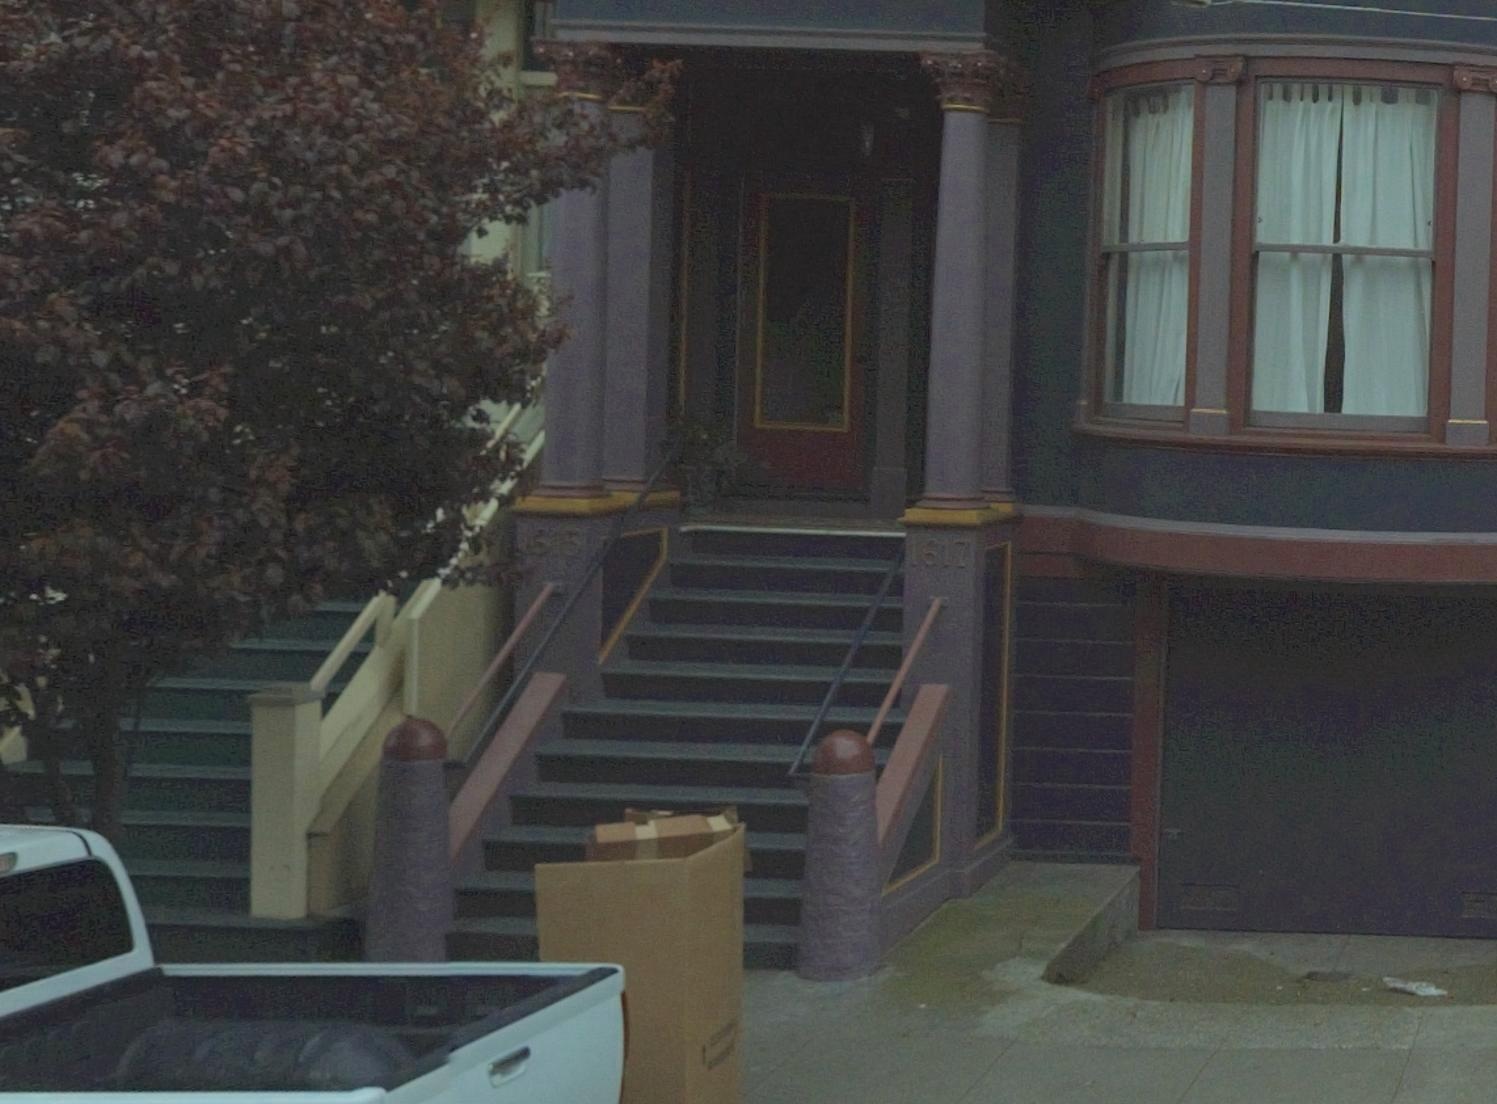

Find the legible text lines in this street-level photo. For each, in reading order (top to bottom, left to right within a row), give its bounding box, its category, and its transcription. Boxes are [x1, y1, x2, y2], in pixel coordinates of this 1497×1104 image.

[519, 527, 583, 559] StreetNumber: 1615
[910, 536, 969, 569] StreetNumber: 1617